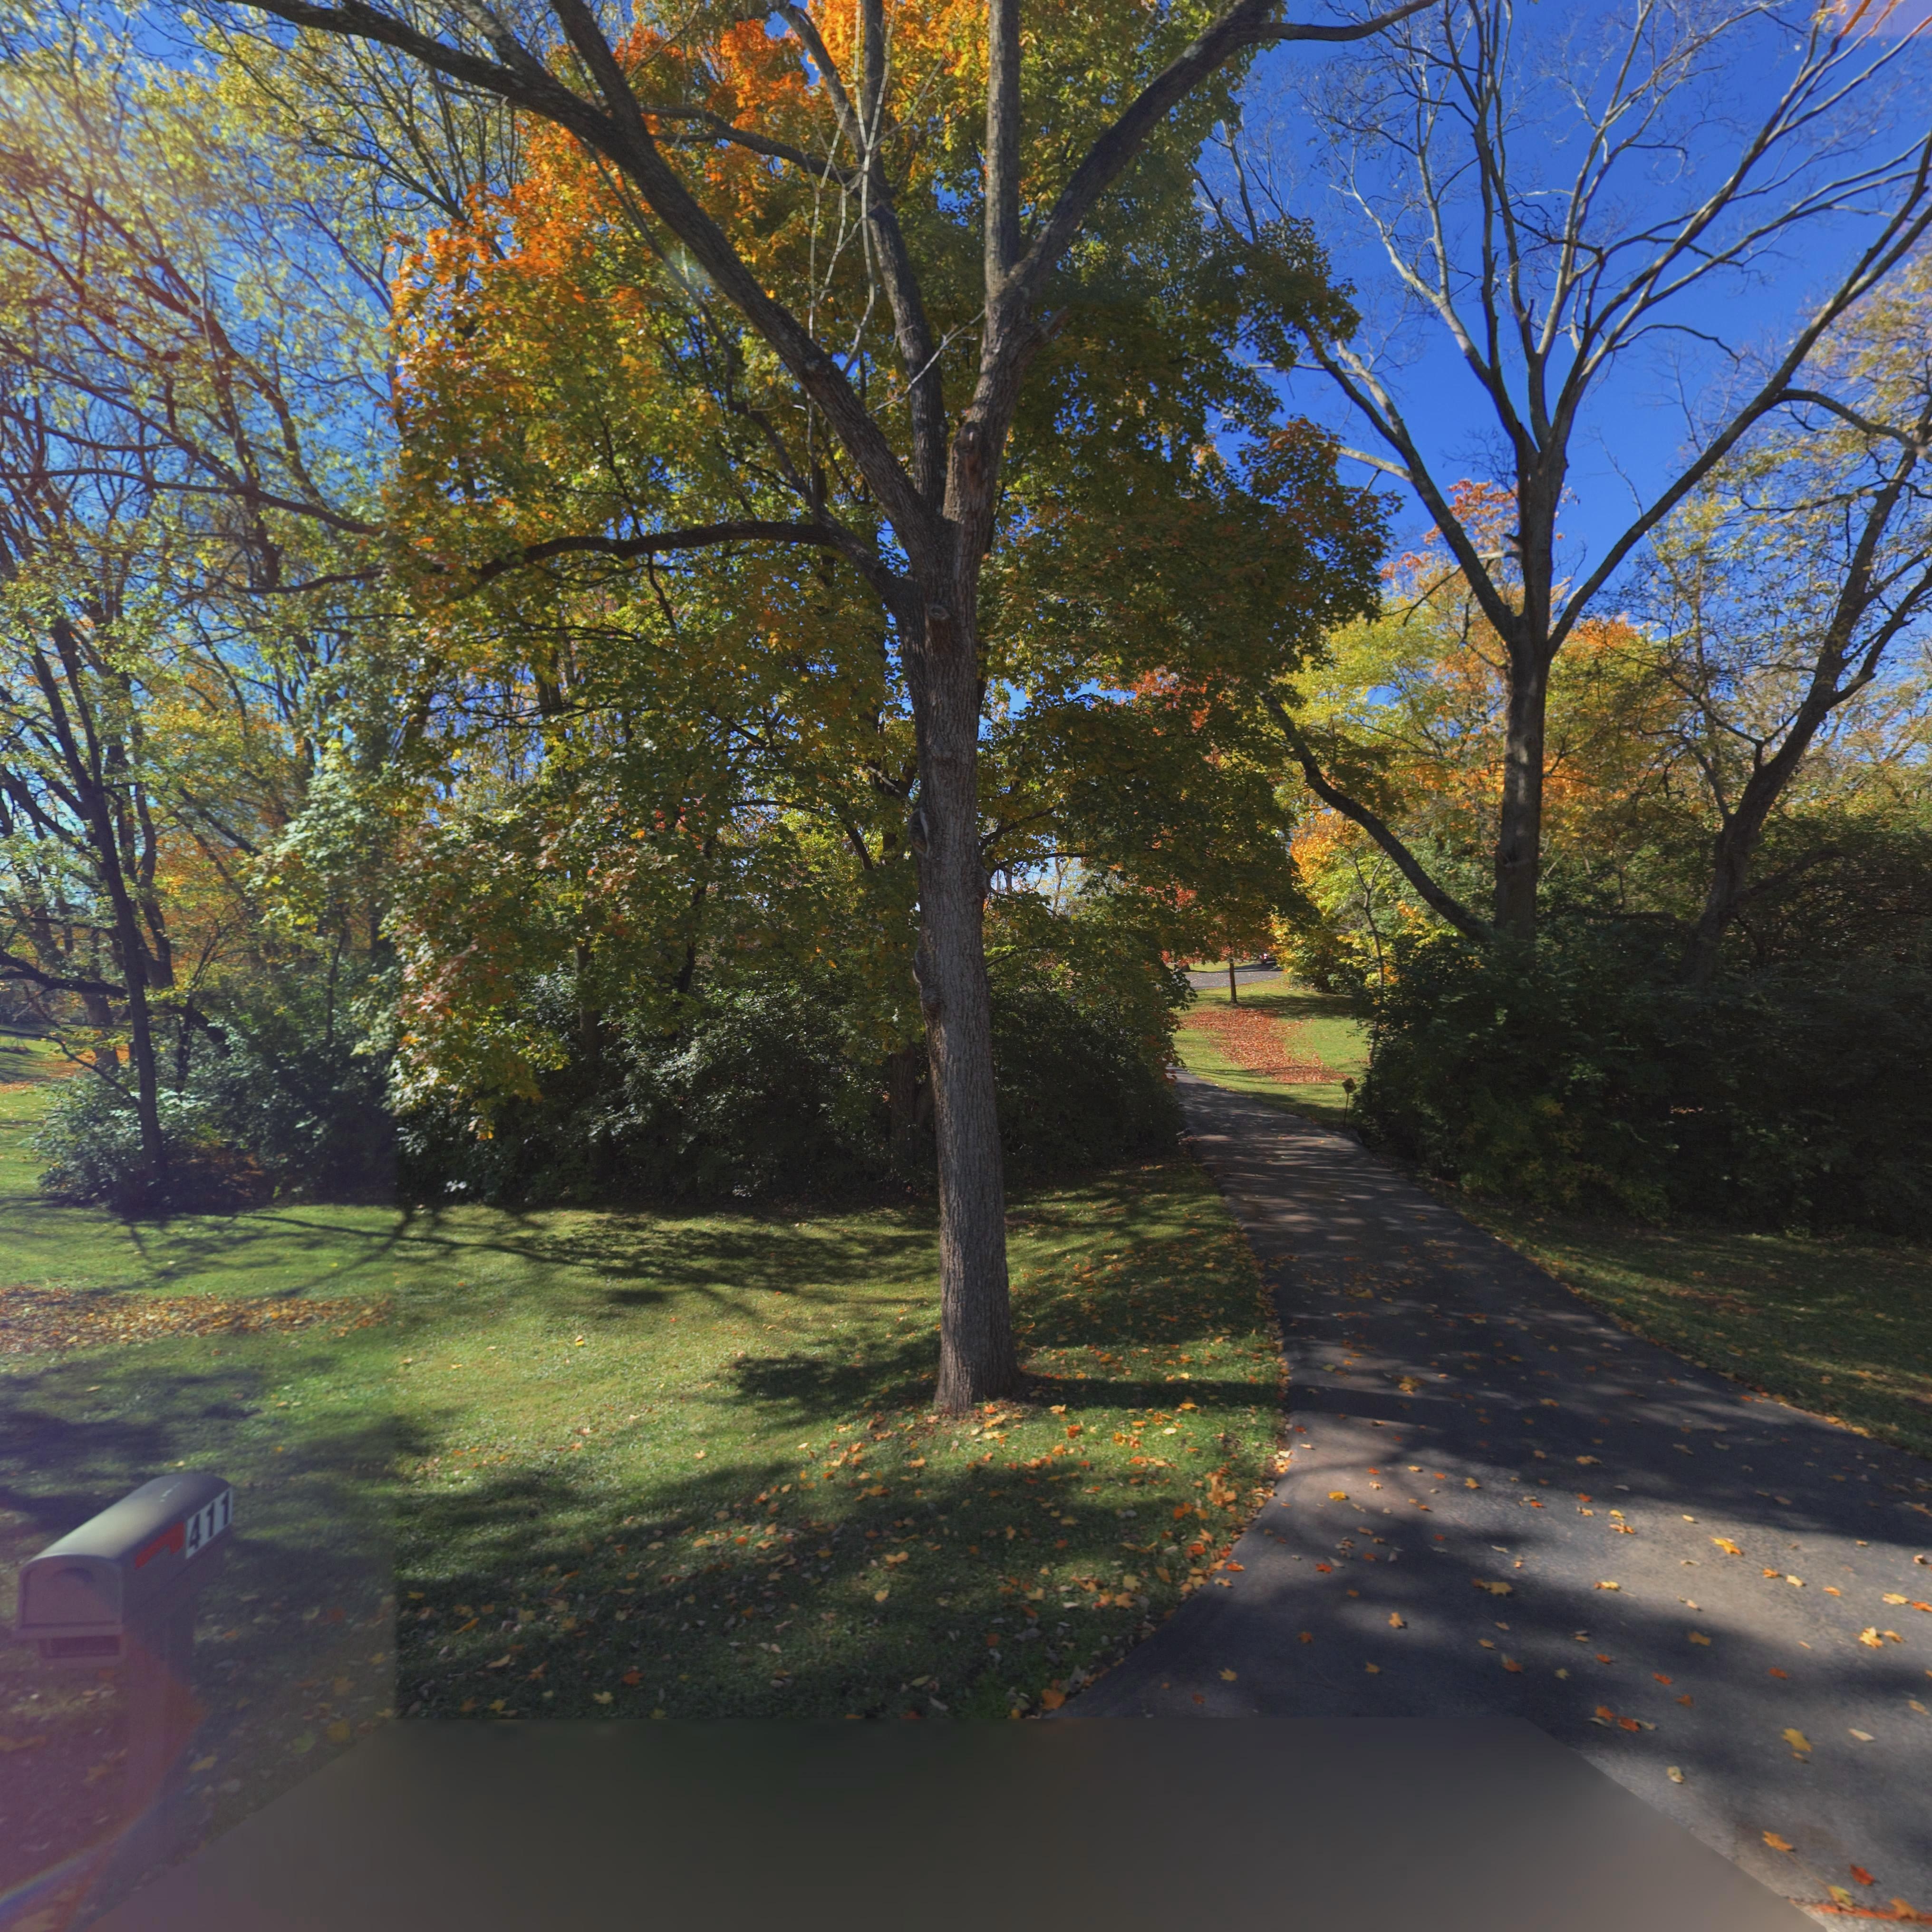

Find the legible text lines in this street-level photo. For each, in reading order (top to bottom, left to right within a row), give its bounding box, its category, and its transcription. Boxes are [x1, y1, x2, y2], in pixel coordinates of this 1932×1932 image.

[185, 1488, 232, 1558] StreetNumber: 411